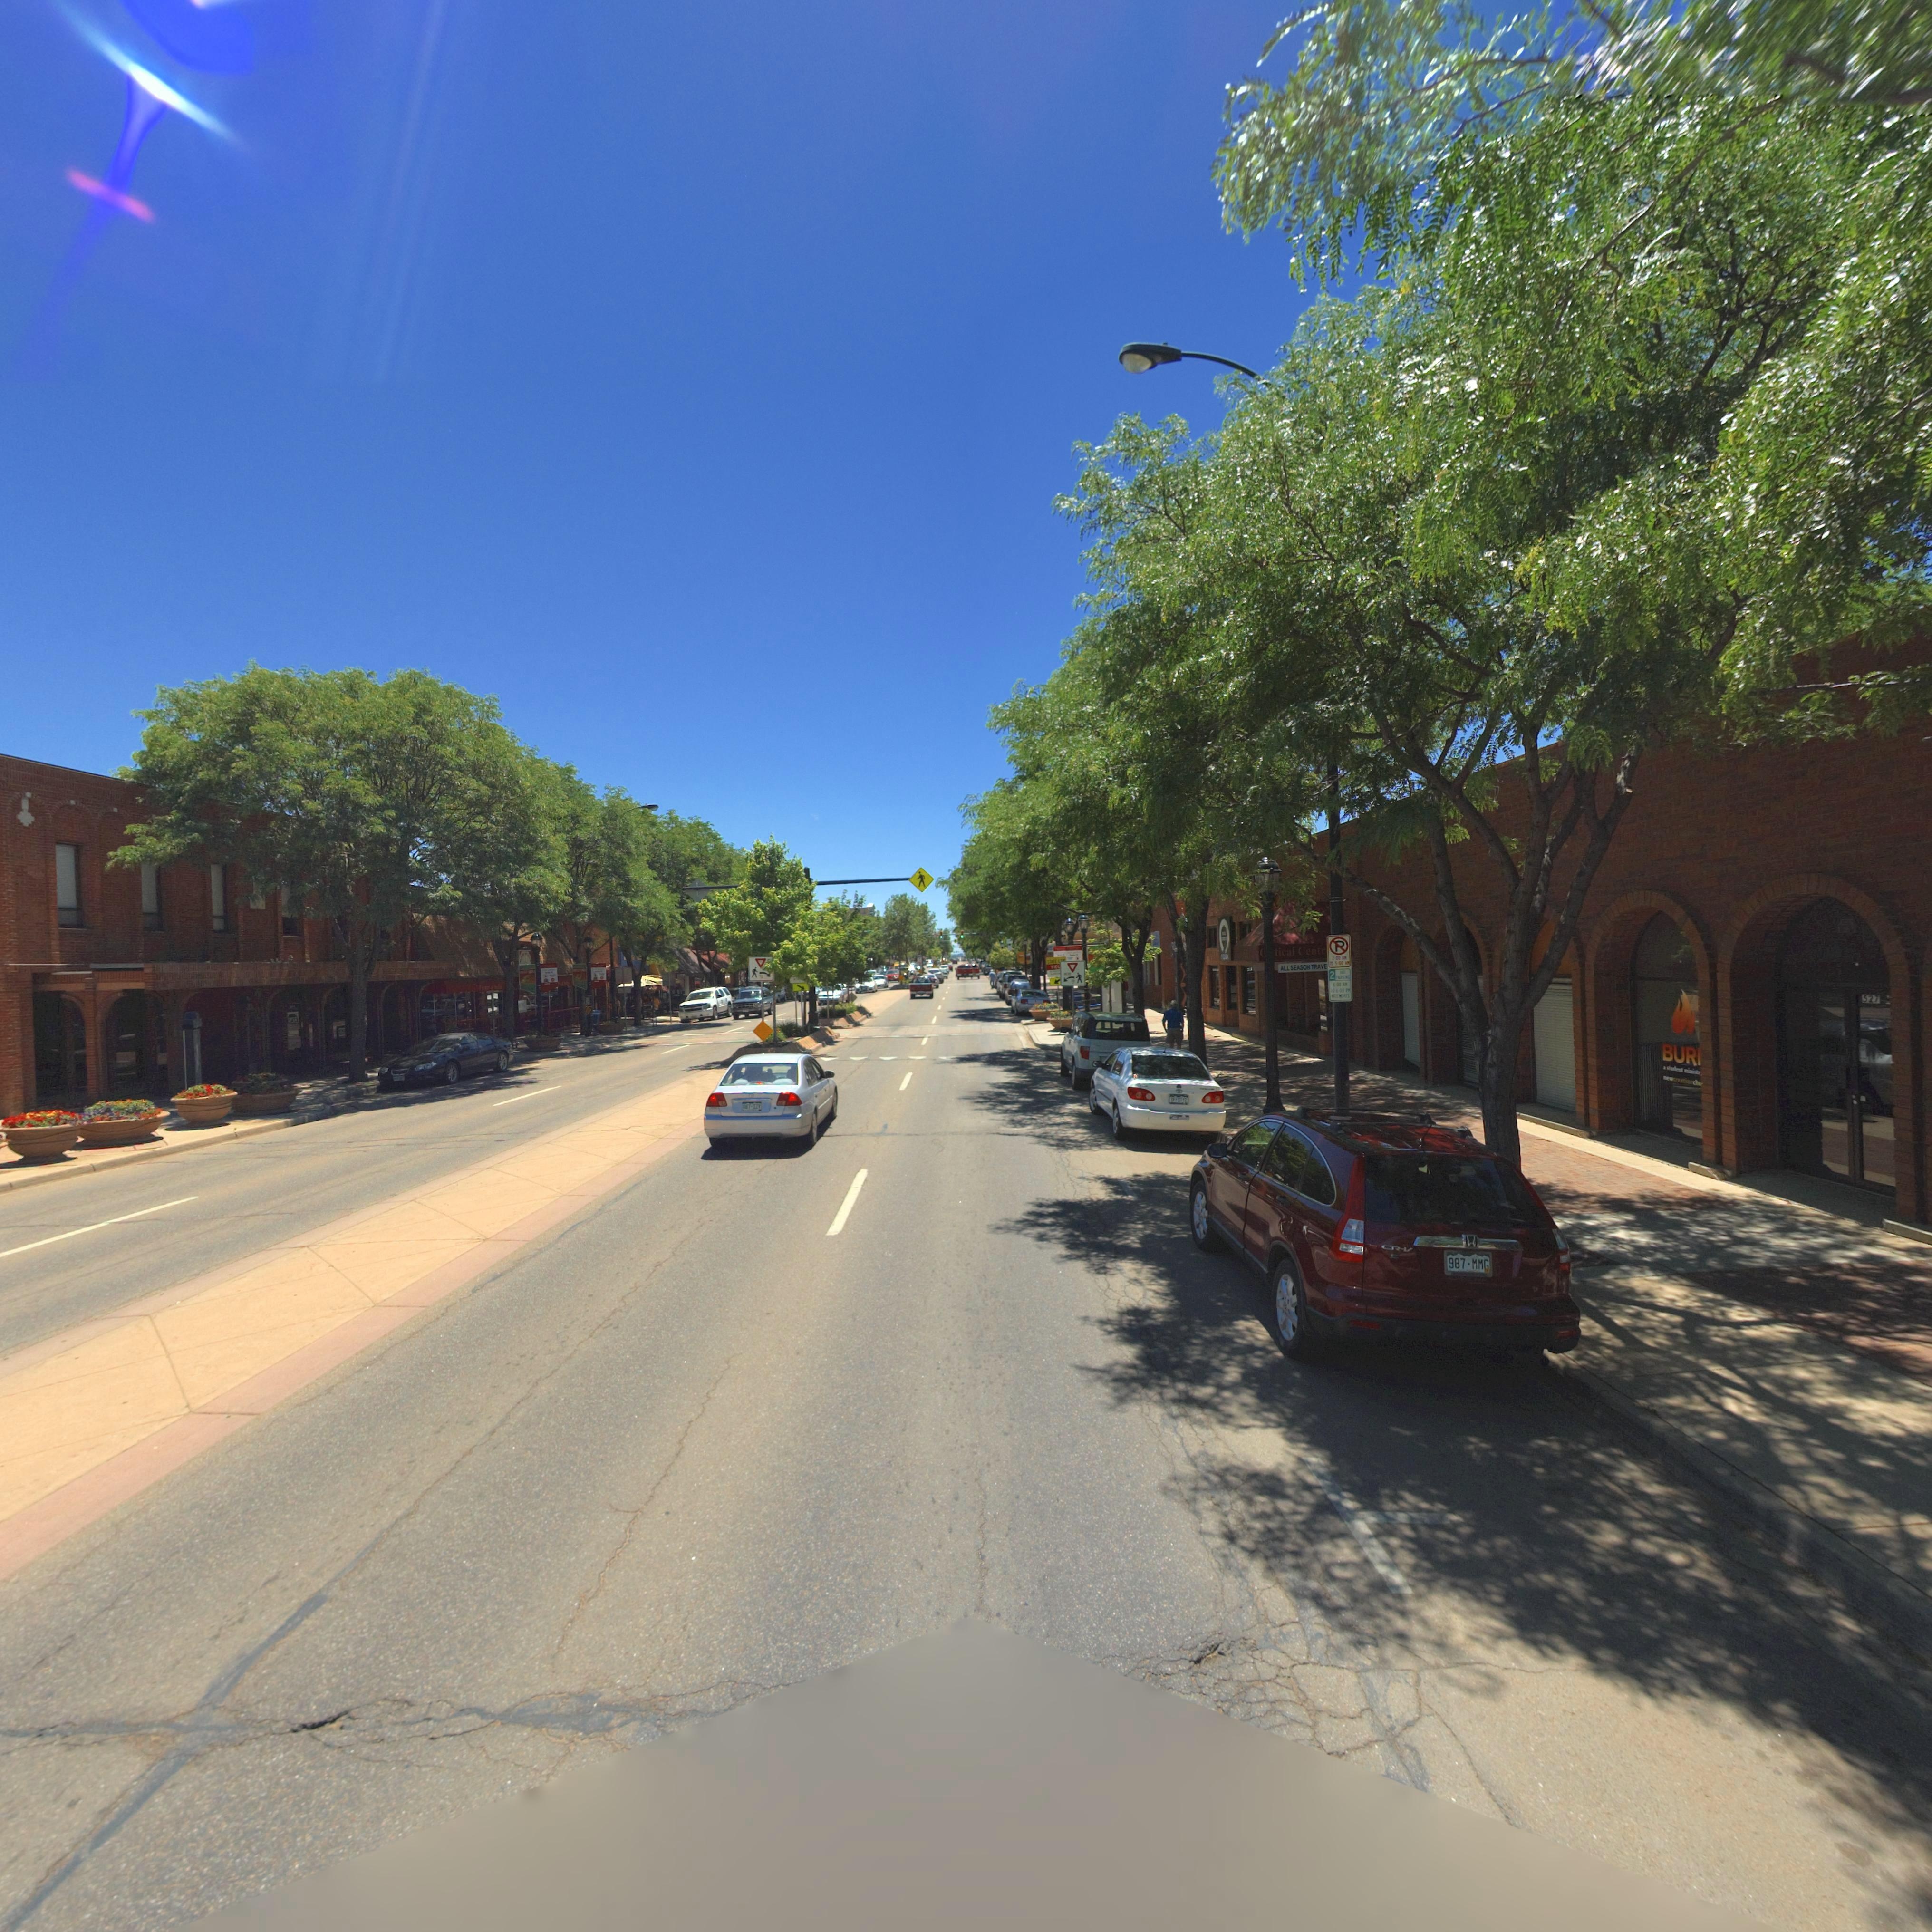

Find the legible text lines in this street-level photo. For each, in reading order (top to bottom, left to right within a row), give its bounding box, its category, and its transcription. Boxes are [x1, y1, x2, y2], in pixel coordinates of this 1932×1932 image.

[1221, 931, 1226, 935] BusinessName: FULL
[1221, 937, 1227, 940] BusinessName: CIRCLE
[1258, 946, 1326, 958] BusinessName: **tical Centr
[1220, 953, 1229, 960] BusinessName: YOGA
[1279, 963, 1328, 971] BusinessName: ALL SEASON TRAVE
[478, 983, 502, 991] BusinessName: Flavor of India
[1862, 994, 1879, 1003] StreetNumber: 527
[1662, 1043, 1698, 1067] BusinessName: BUR